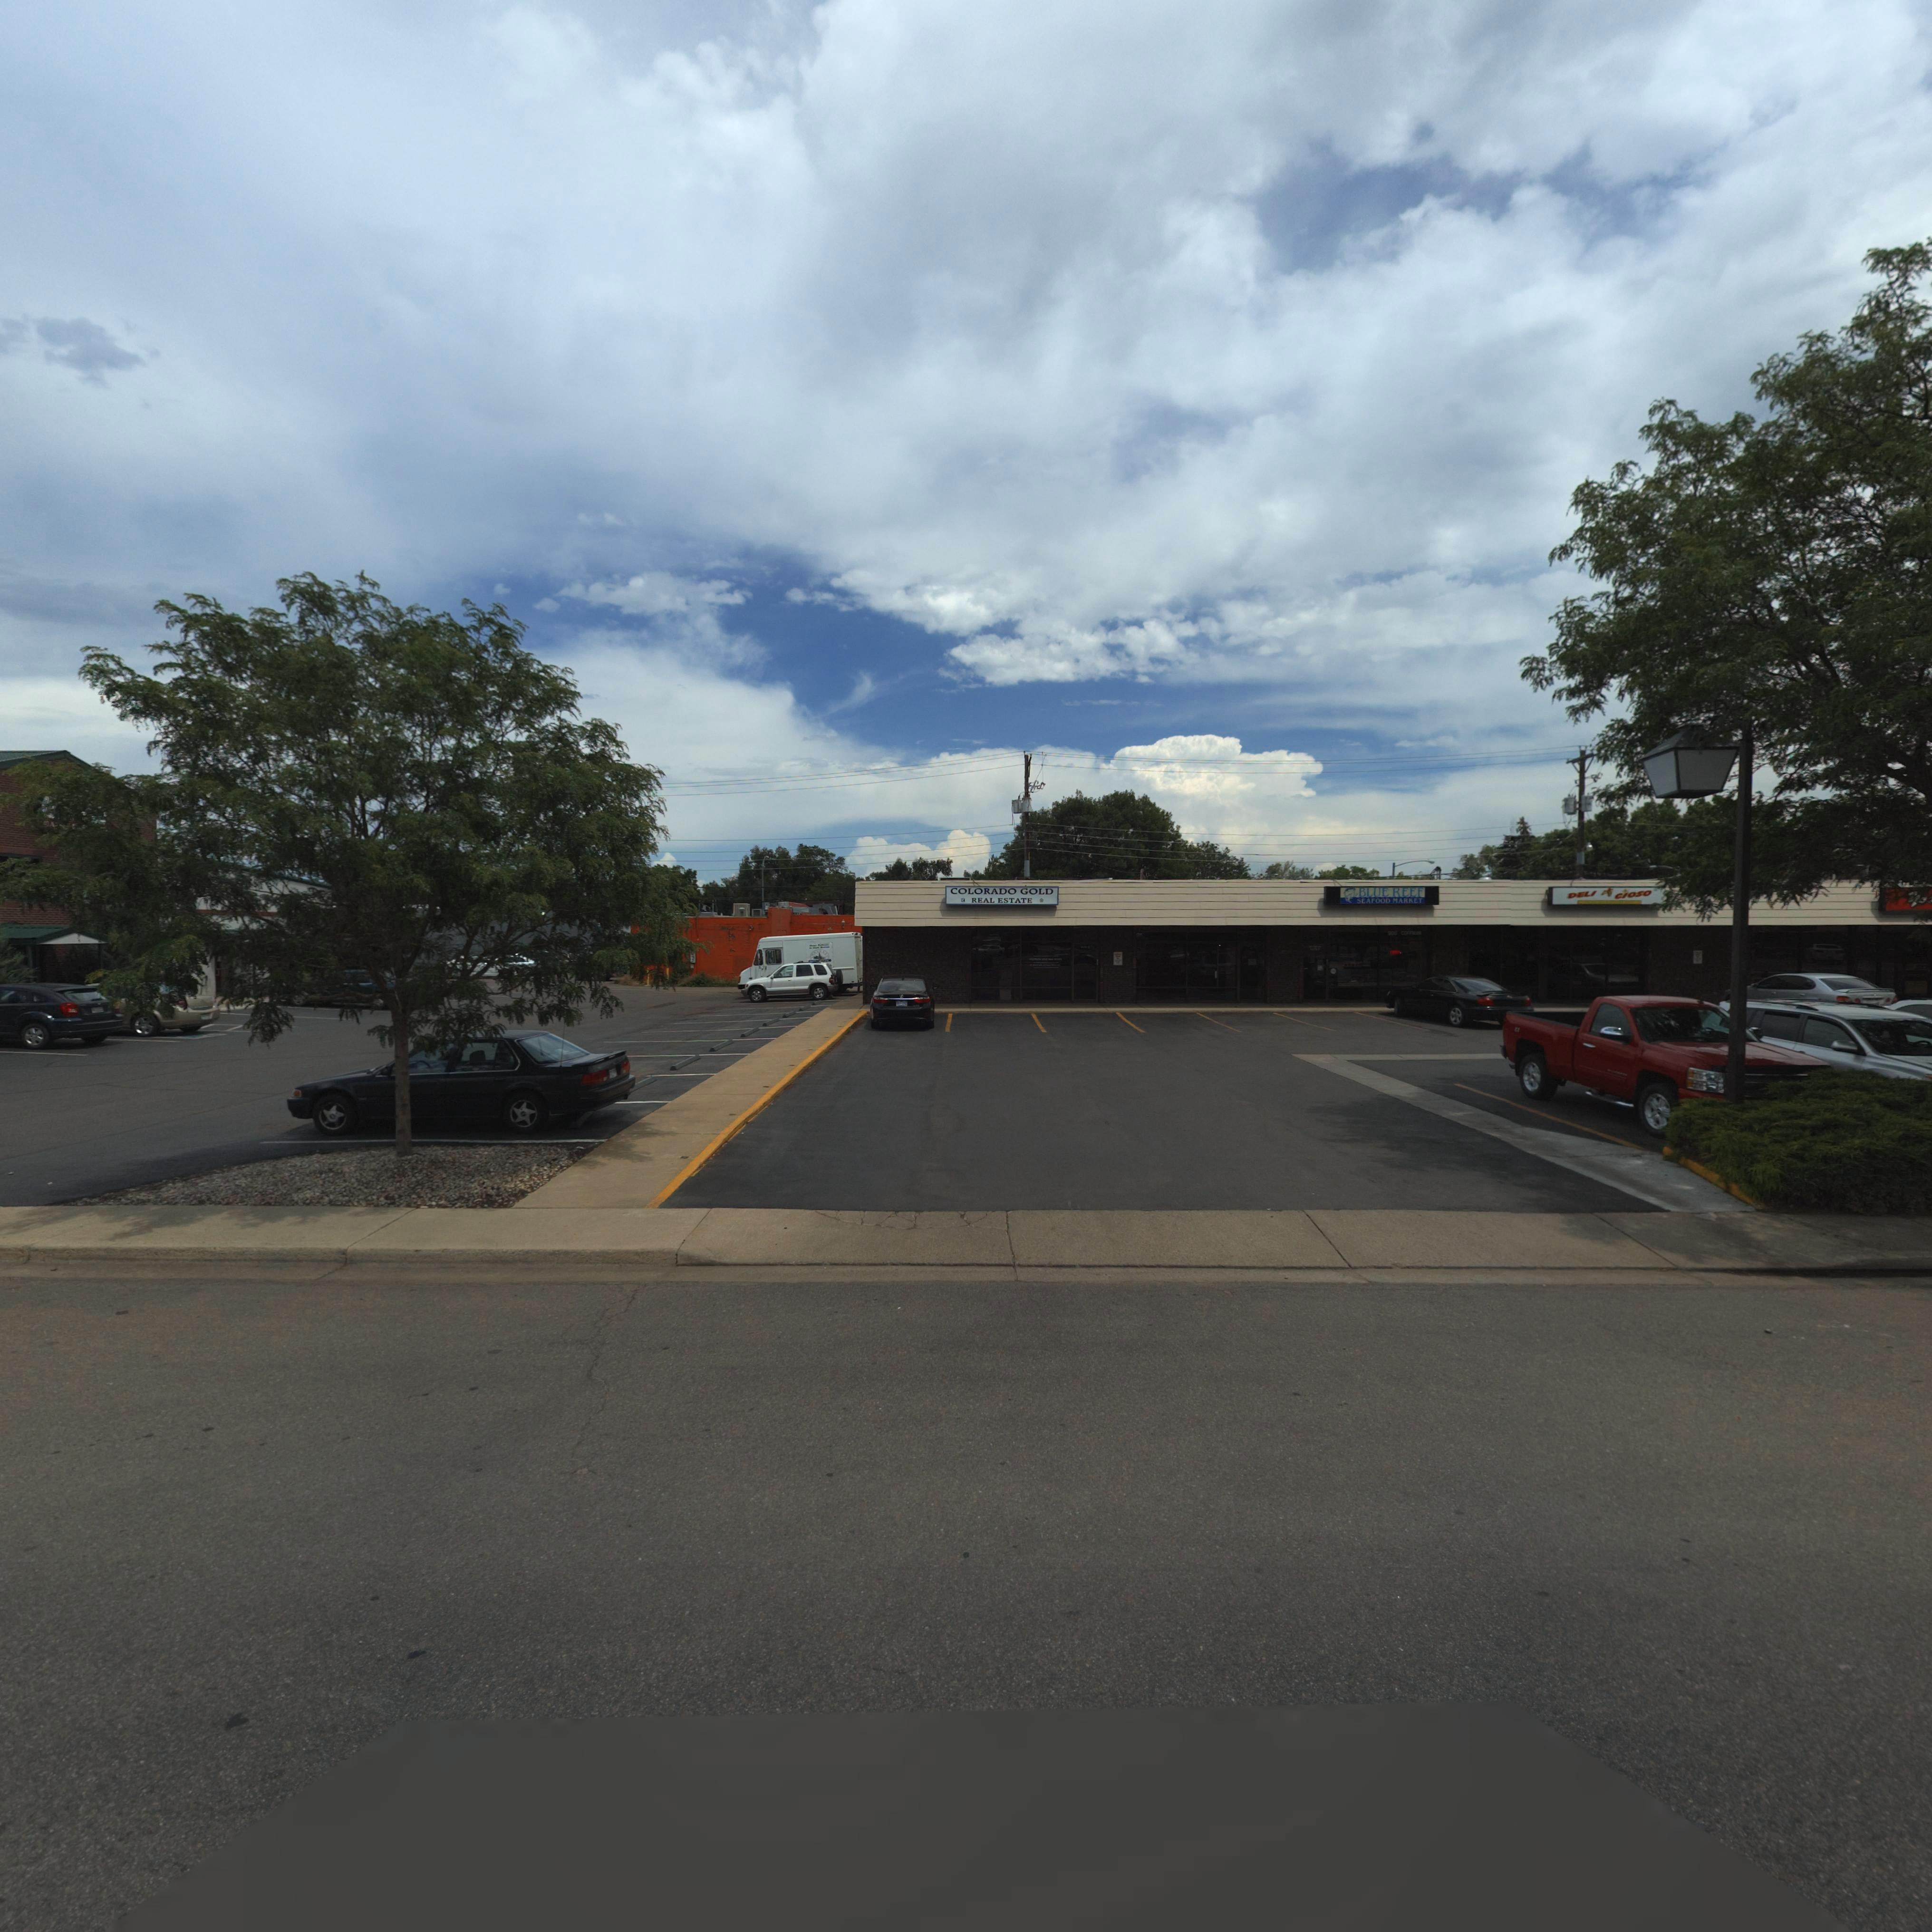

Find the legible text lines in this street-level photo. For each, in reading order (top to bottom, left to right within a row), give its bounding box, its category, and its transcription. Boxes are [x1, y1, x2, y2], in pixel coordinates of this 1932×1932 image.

[950, 888, 1053, 894] BusinessName: COLORADO GOLD
[1359, 887, 1423, 897] BusinessName: BLUE REEF
[1569, 890, 1597, 898] BusinessName: DELI
[1615, 890, 1651, 898] BusinessName: CIOSO
[972, 898, 1032, 903] BusinessName: REAL ESTATE
[1357, 898, 1422, 903] BusinessName: SEAFOOD MARKET
[1388, 931, 1397, 935] StreetNumber: 900
[1401, 931, 1421, 935] StreetName: COFFMAN